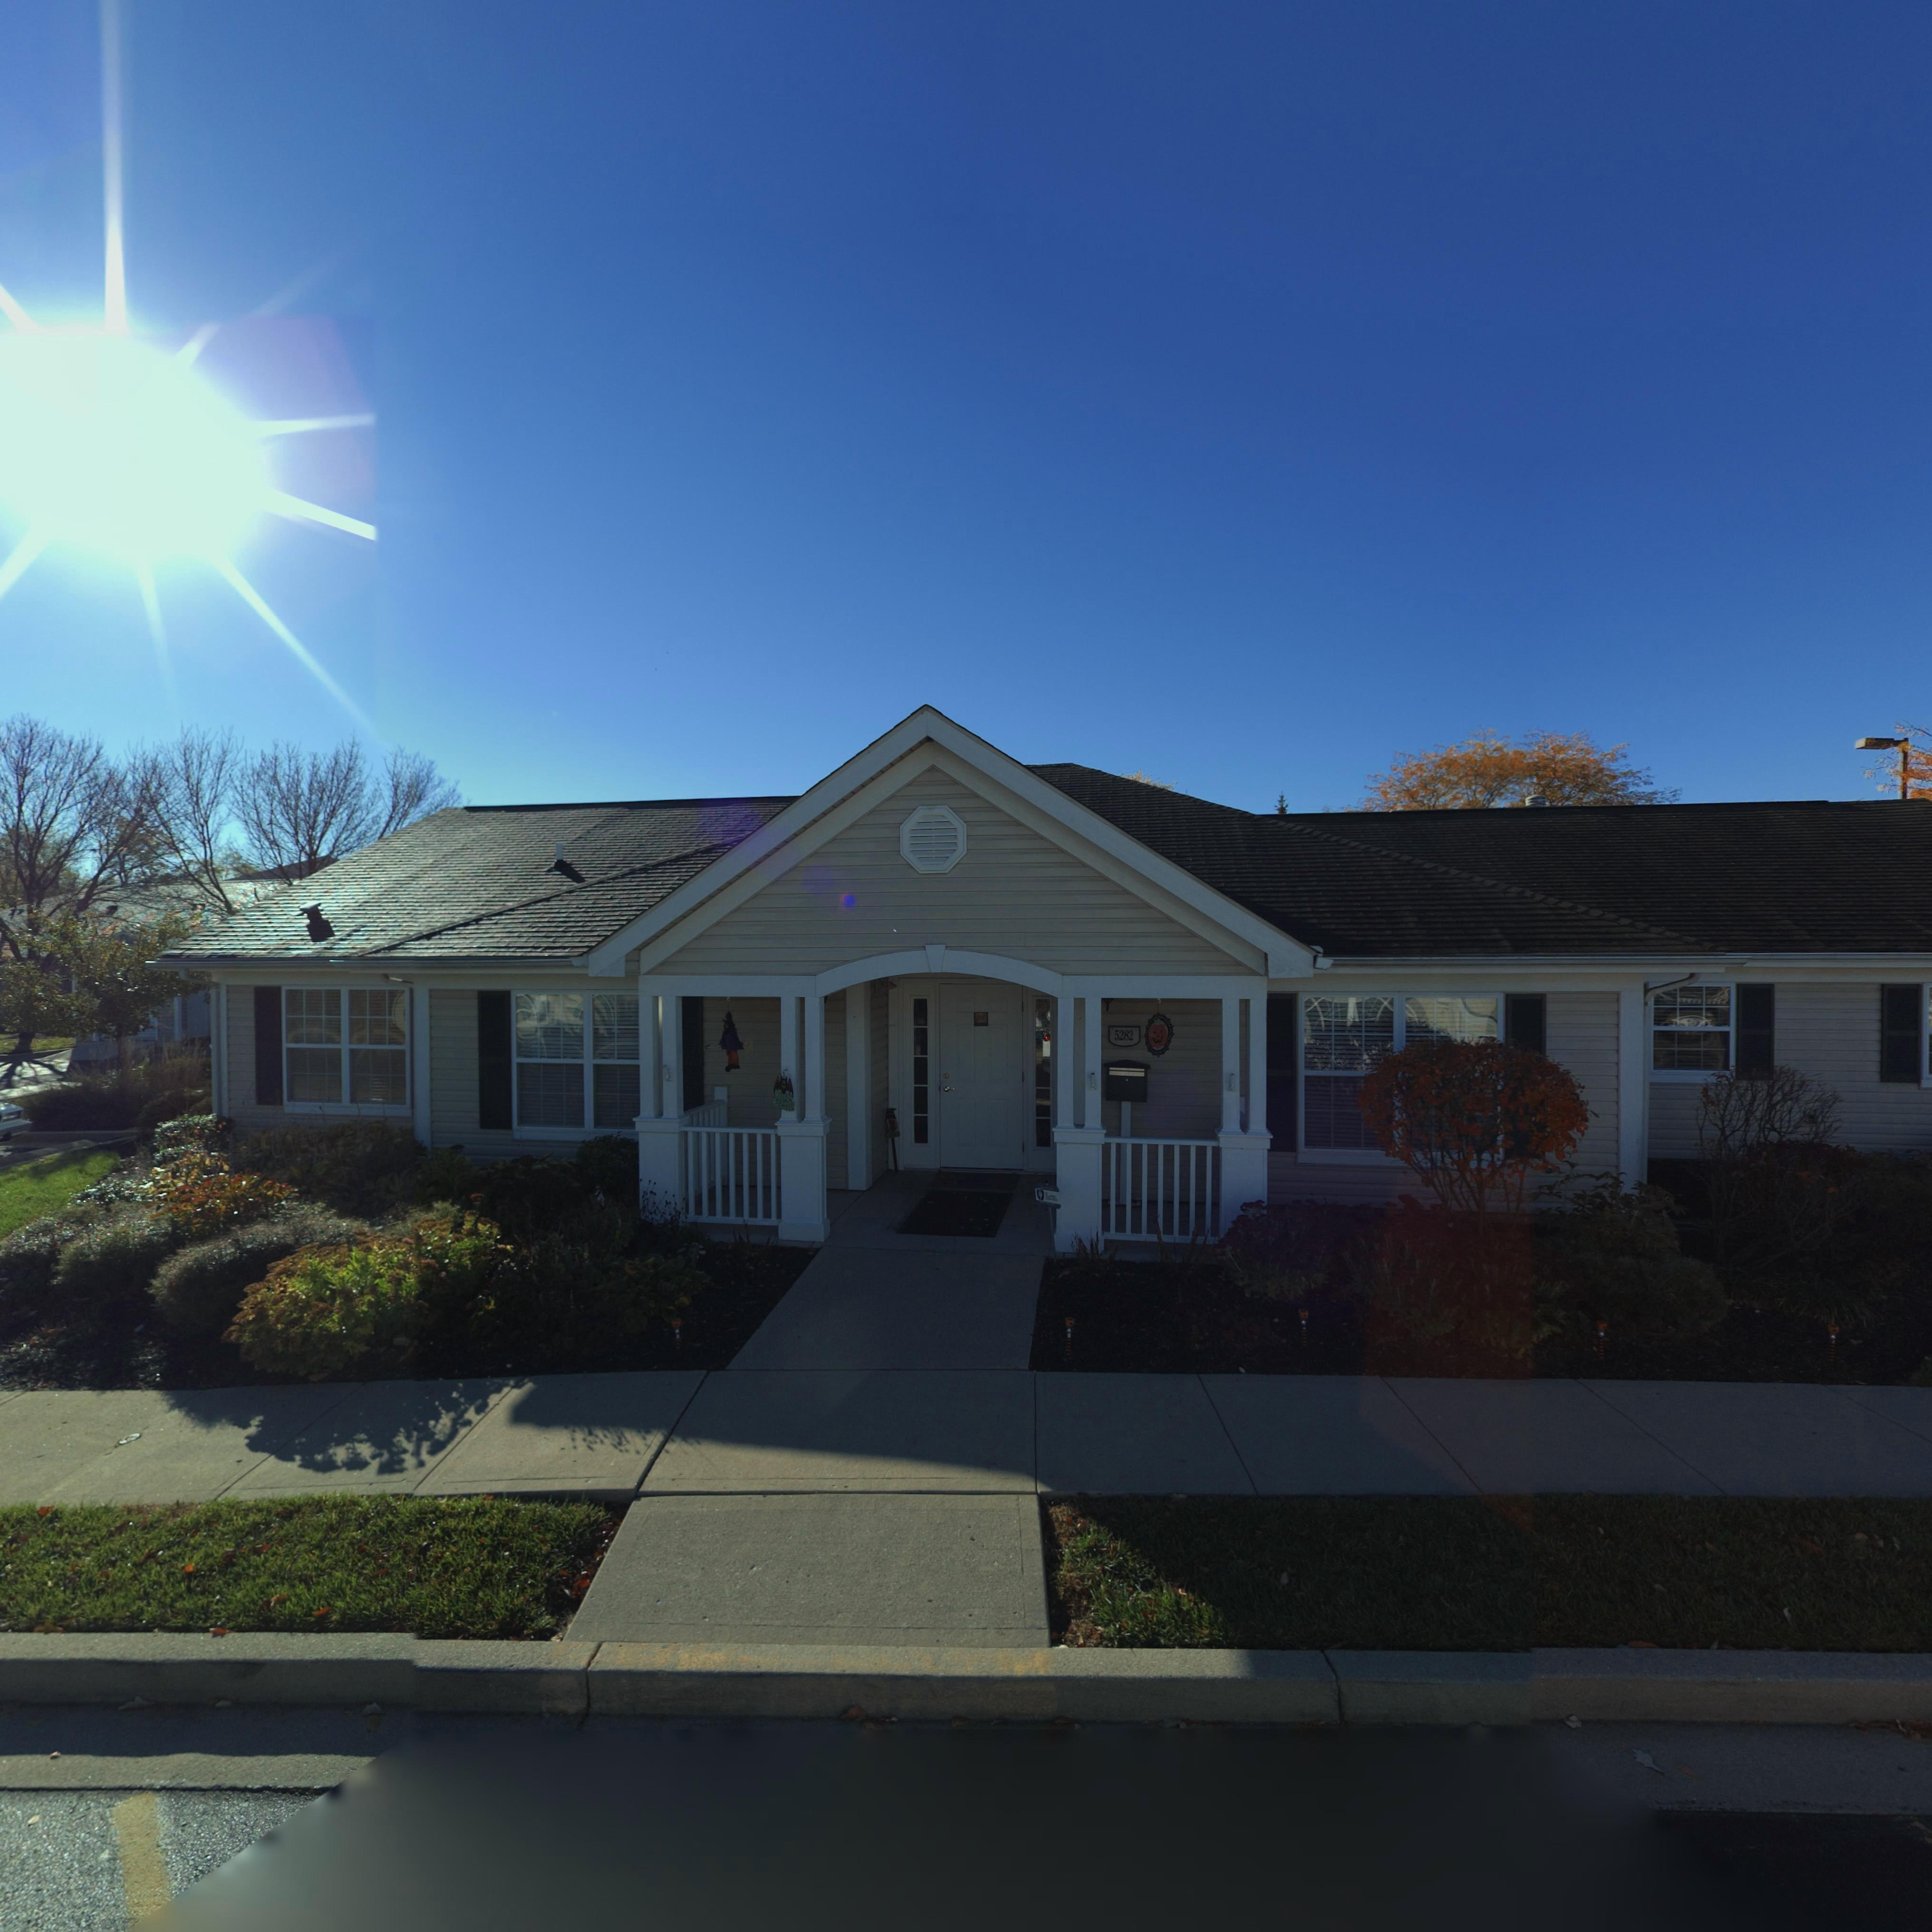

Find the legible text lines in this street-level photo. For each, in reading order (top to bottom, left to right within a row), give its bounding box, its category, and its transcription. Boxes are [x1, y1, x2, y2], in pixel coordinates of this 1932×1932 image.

[1114, 1029, 1134, 1041] StreetNumber: 5282